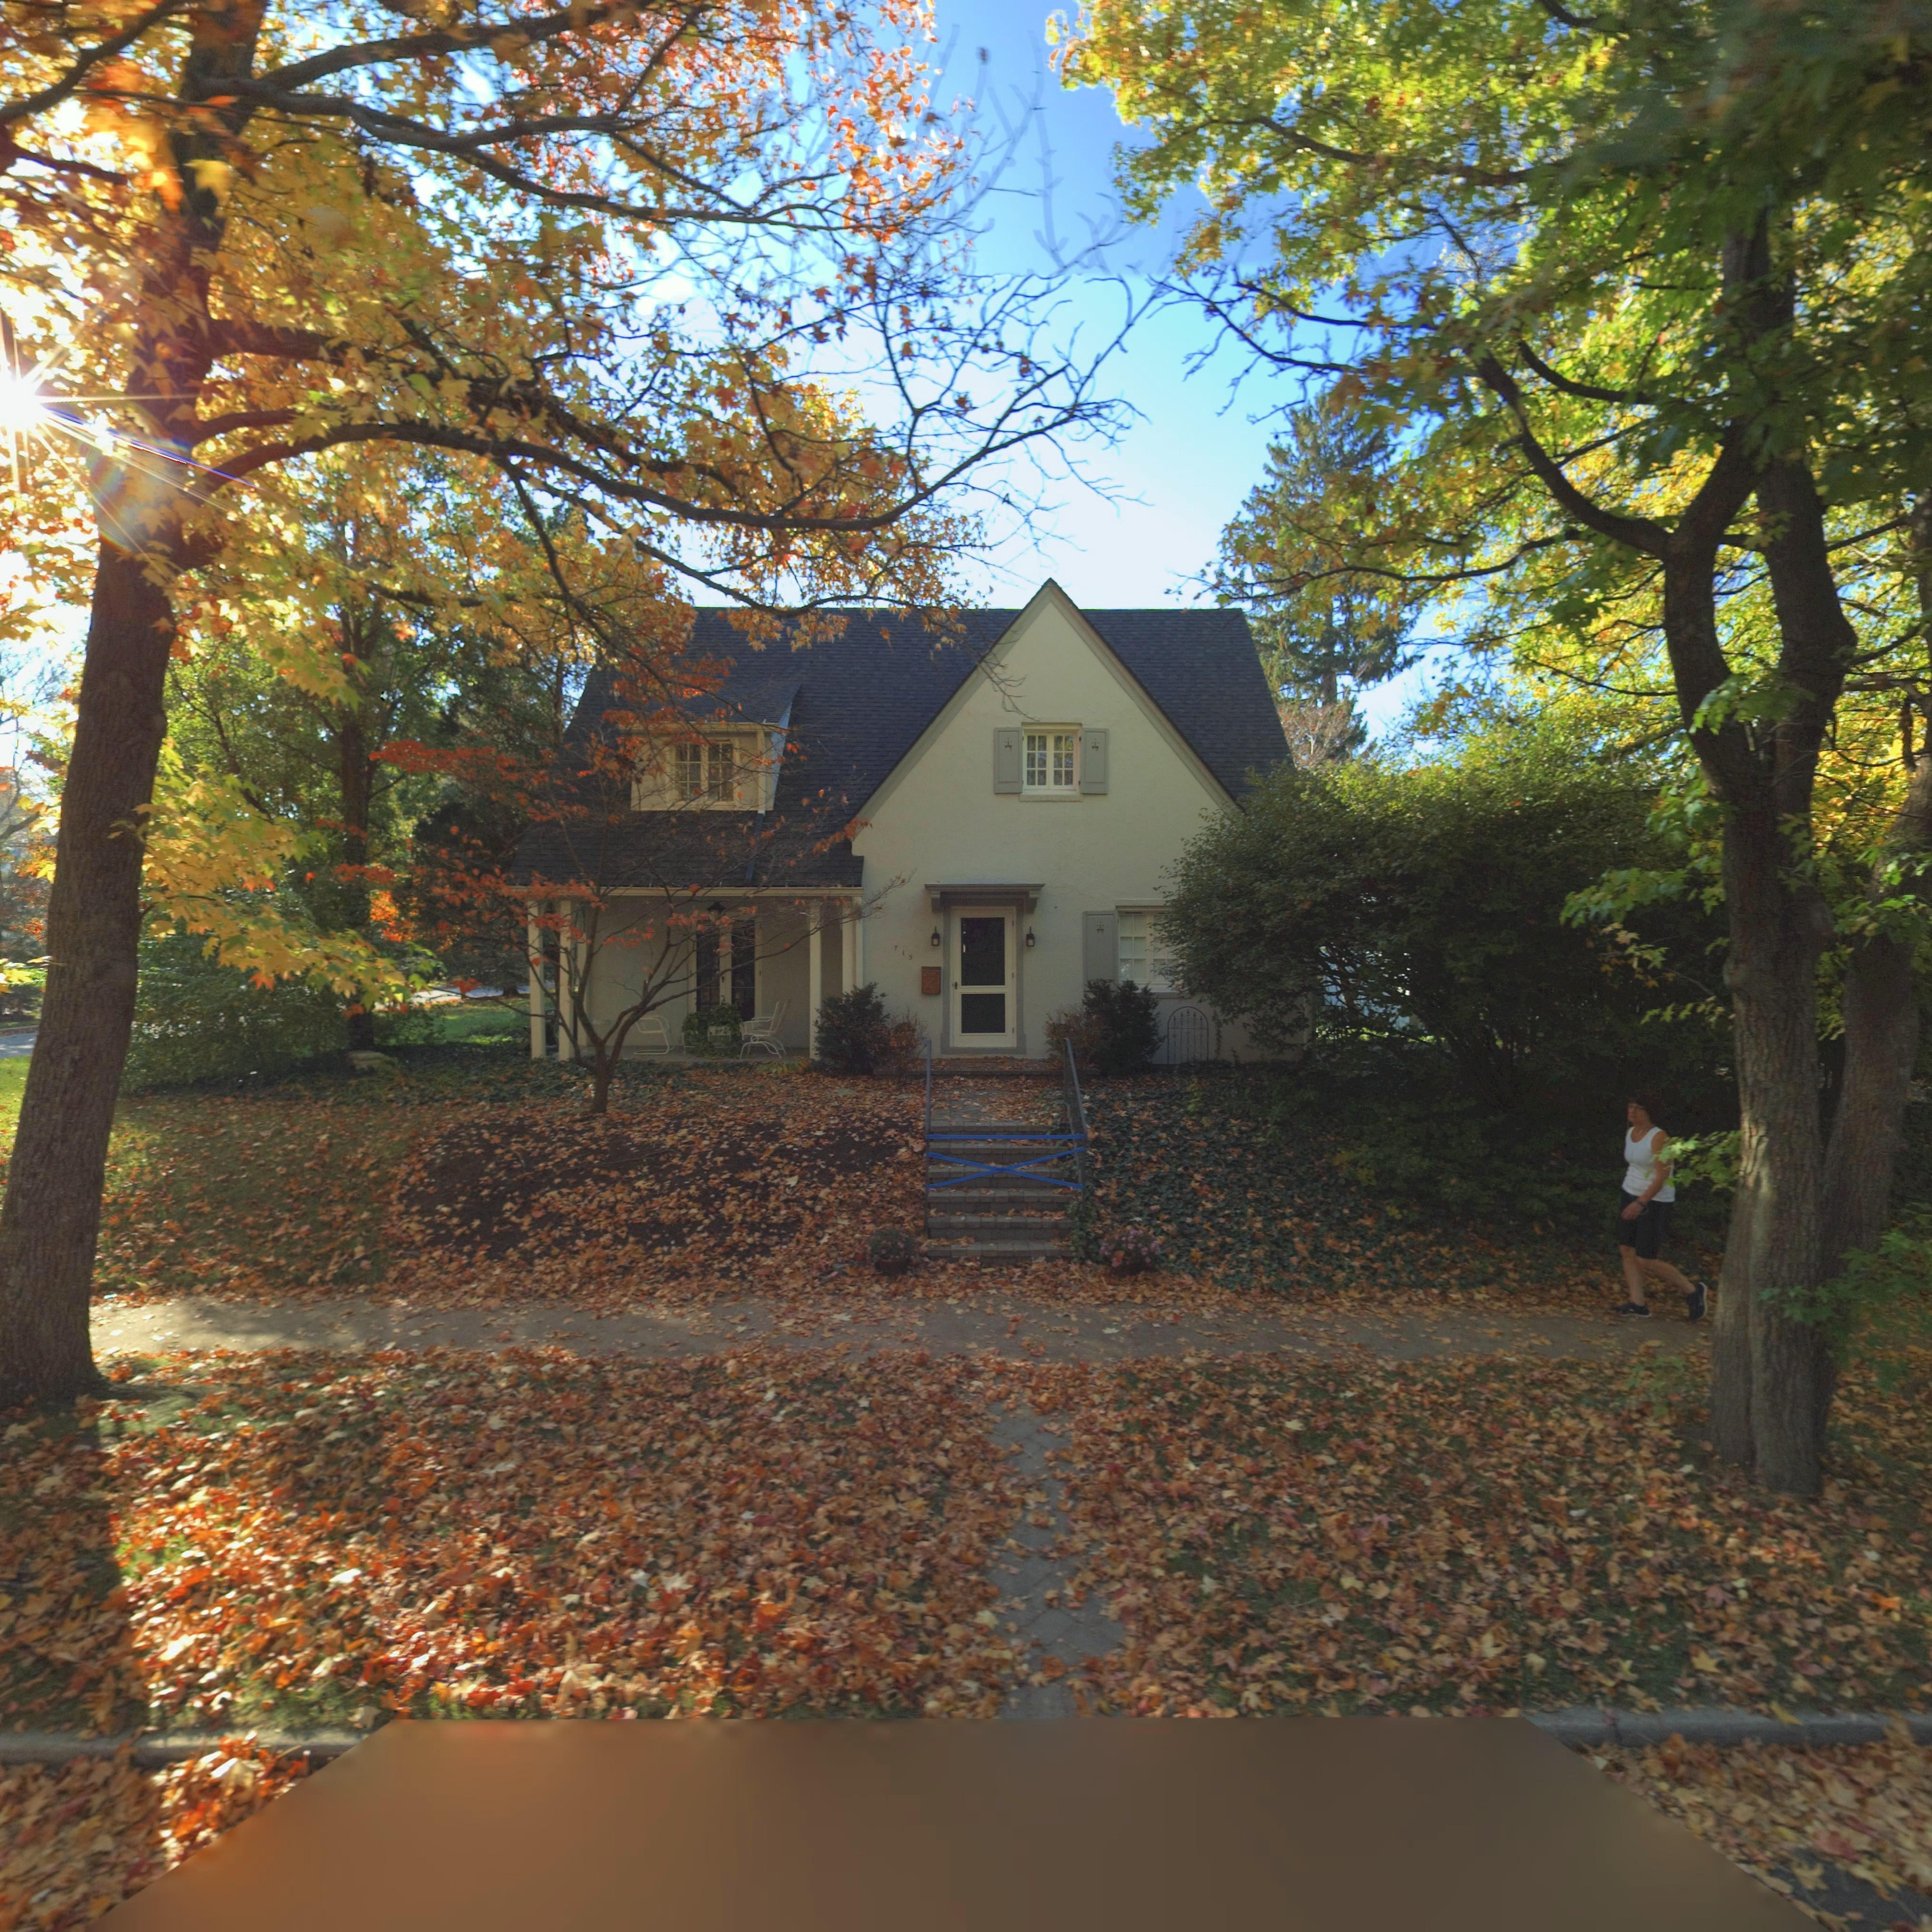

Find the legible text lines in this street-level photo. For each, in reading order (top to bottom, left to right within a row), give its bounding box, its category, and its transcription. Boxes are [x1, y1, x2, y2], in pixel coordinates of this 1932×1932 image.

[893, 944, 914, 961] StreetNumber: 715